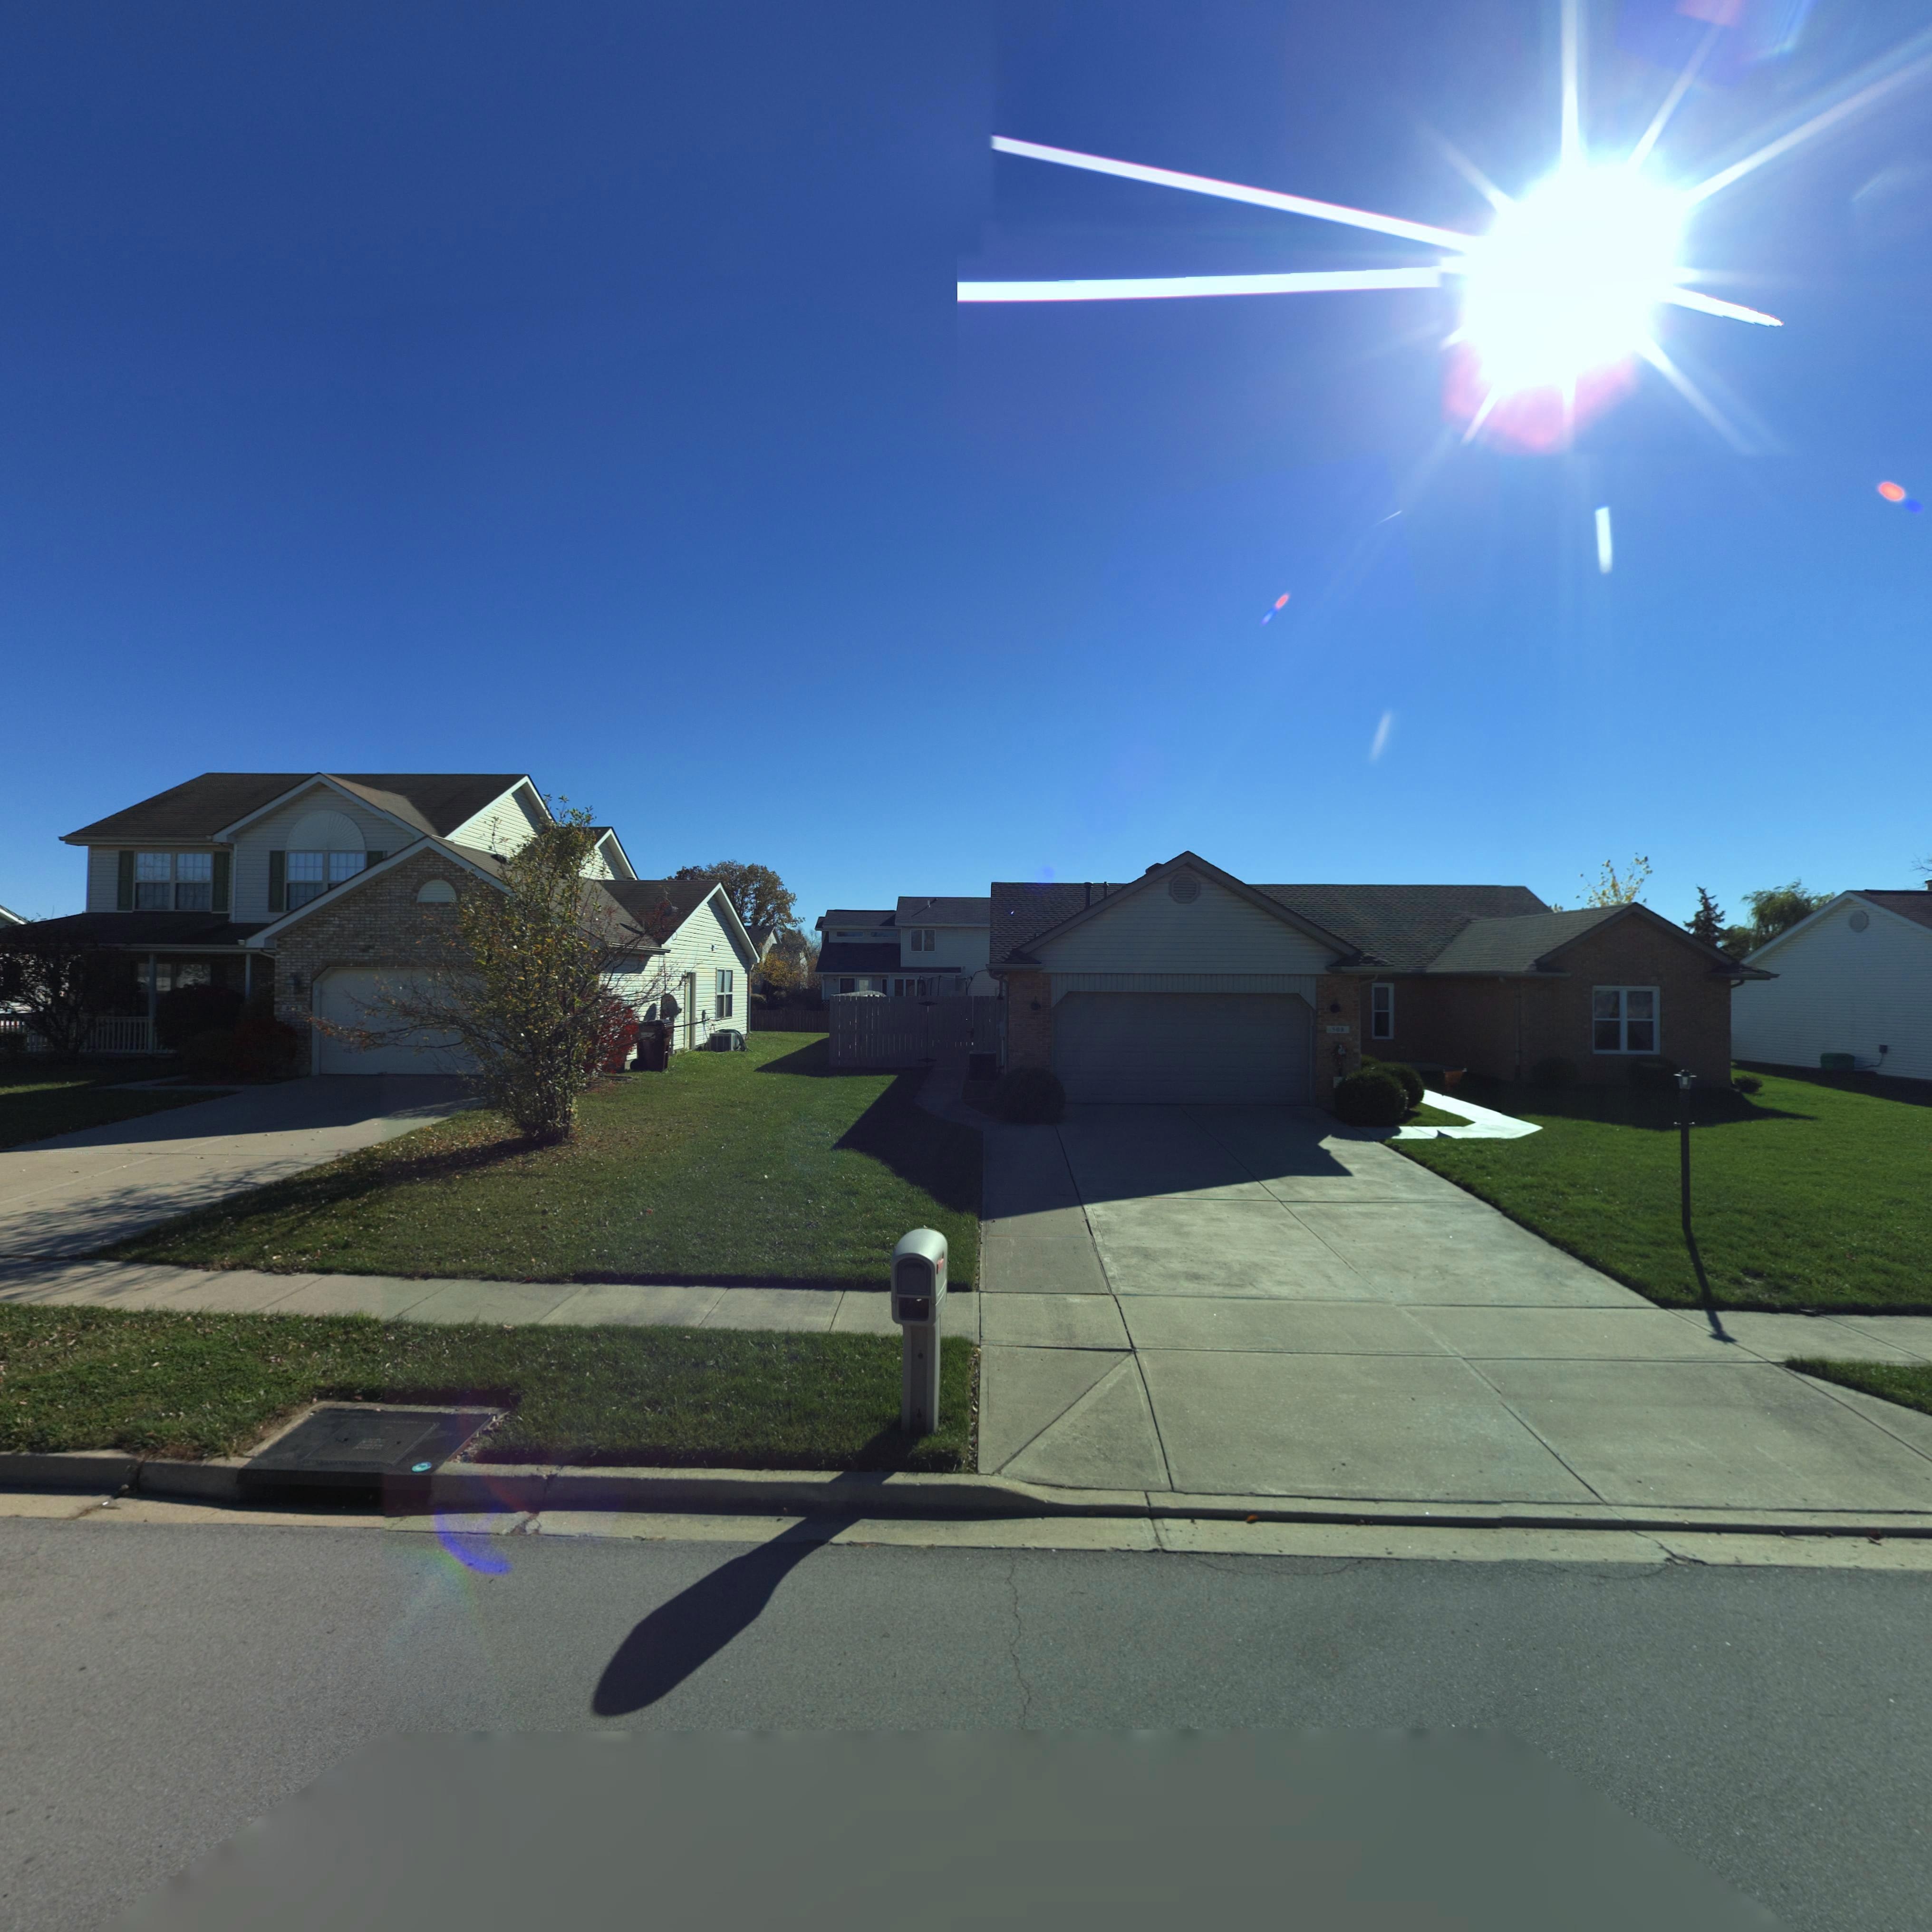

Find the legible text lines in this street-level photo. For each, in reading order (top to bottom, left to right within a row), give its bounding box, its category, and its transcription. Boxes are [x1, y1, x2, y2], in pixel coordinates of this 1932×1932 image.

[1331, 1026, 1345, 1033] StreetNumber: 50*